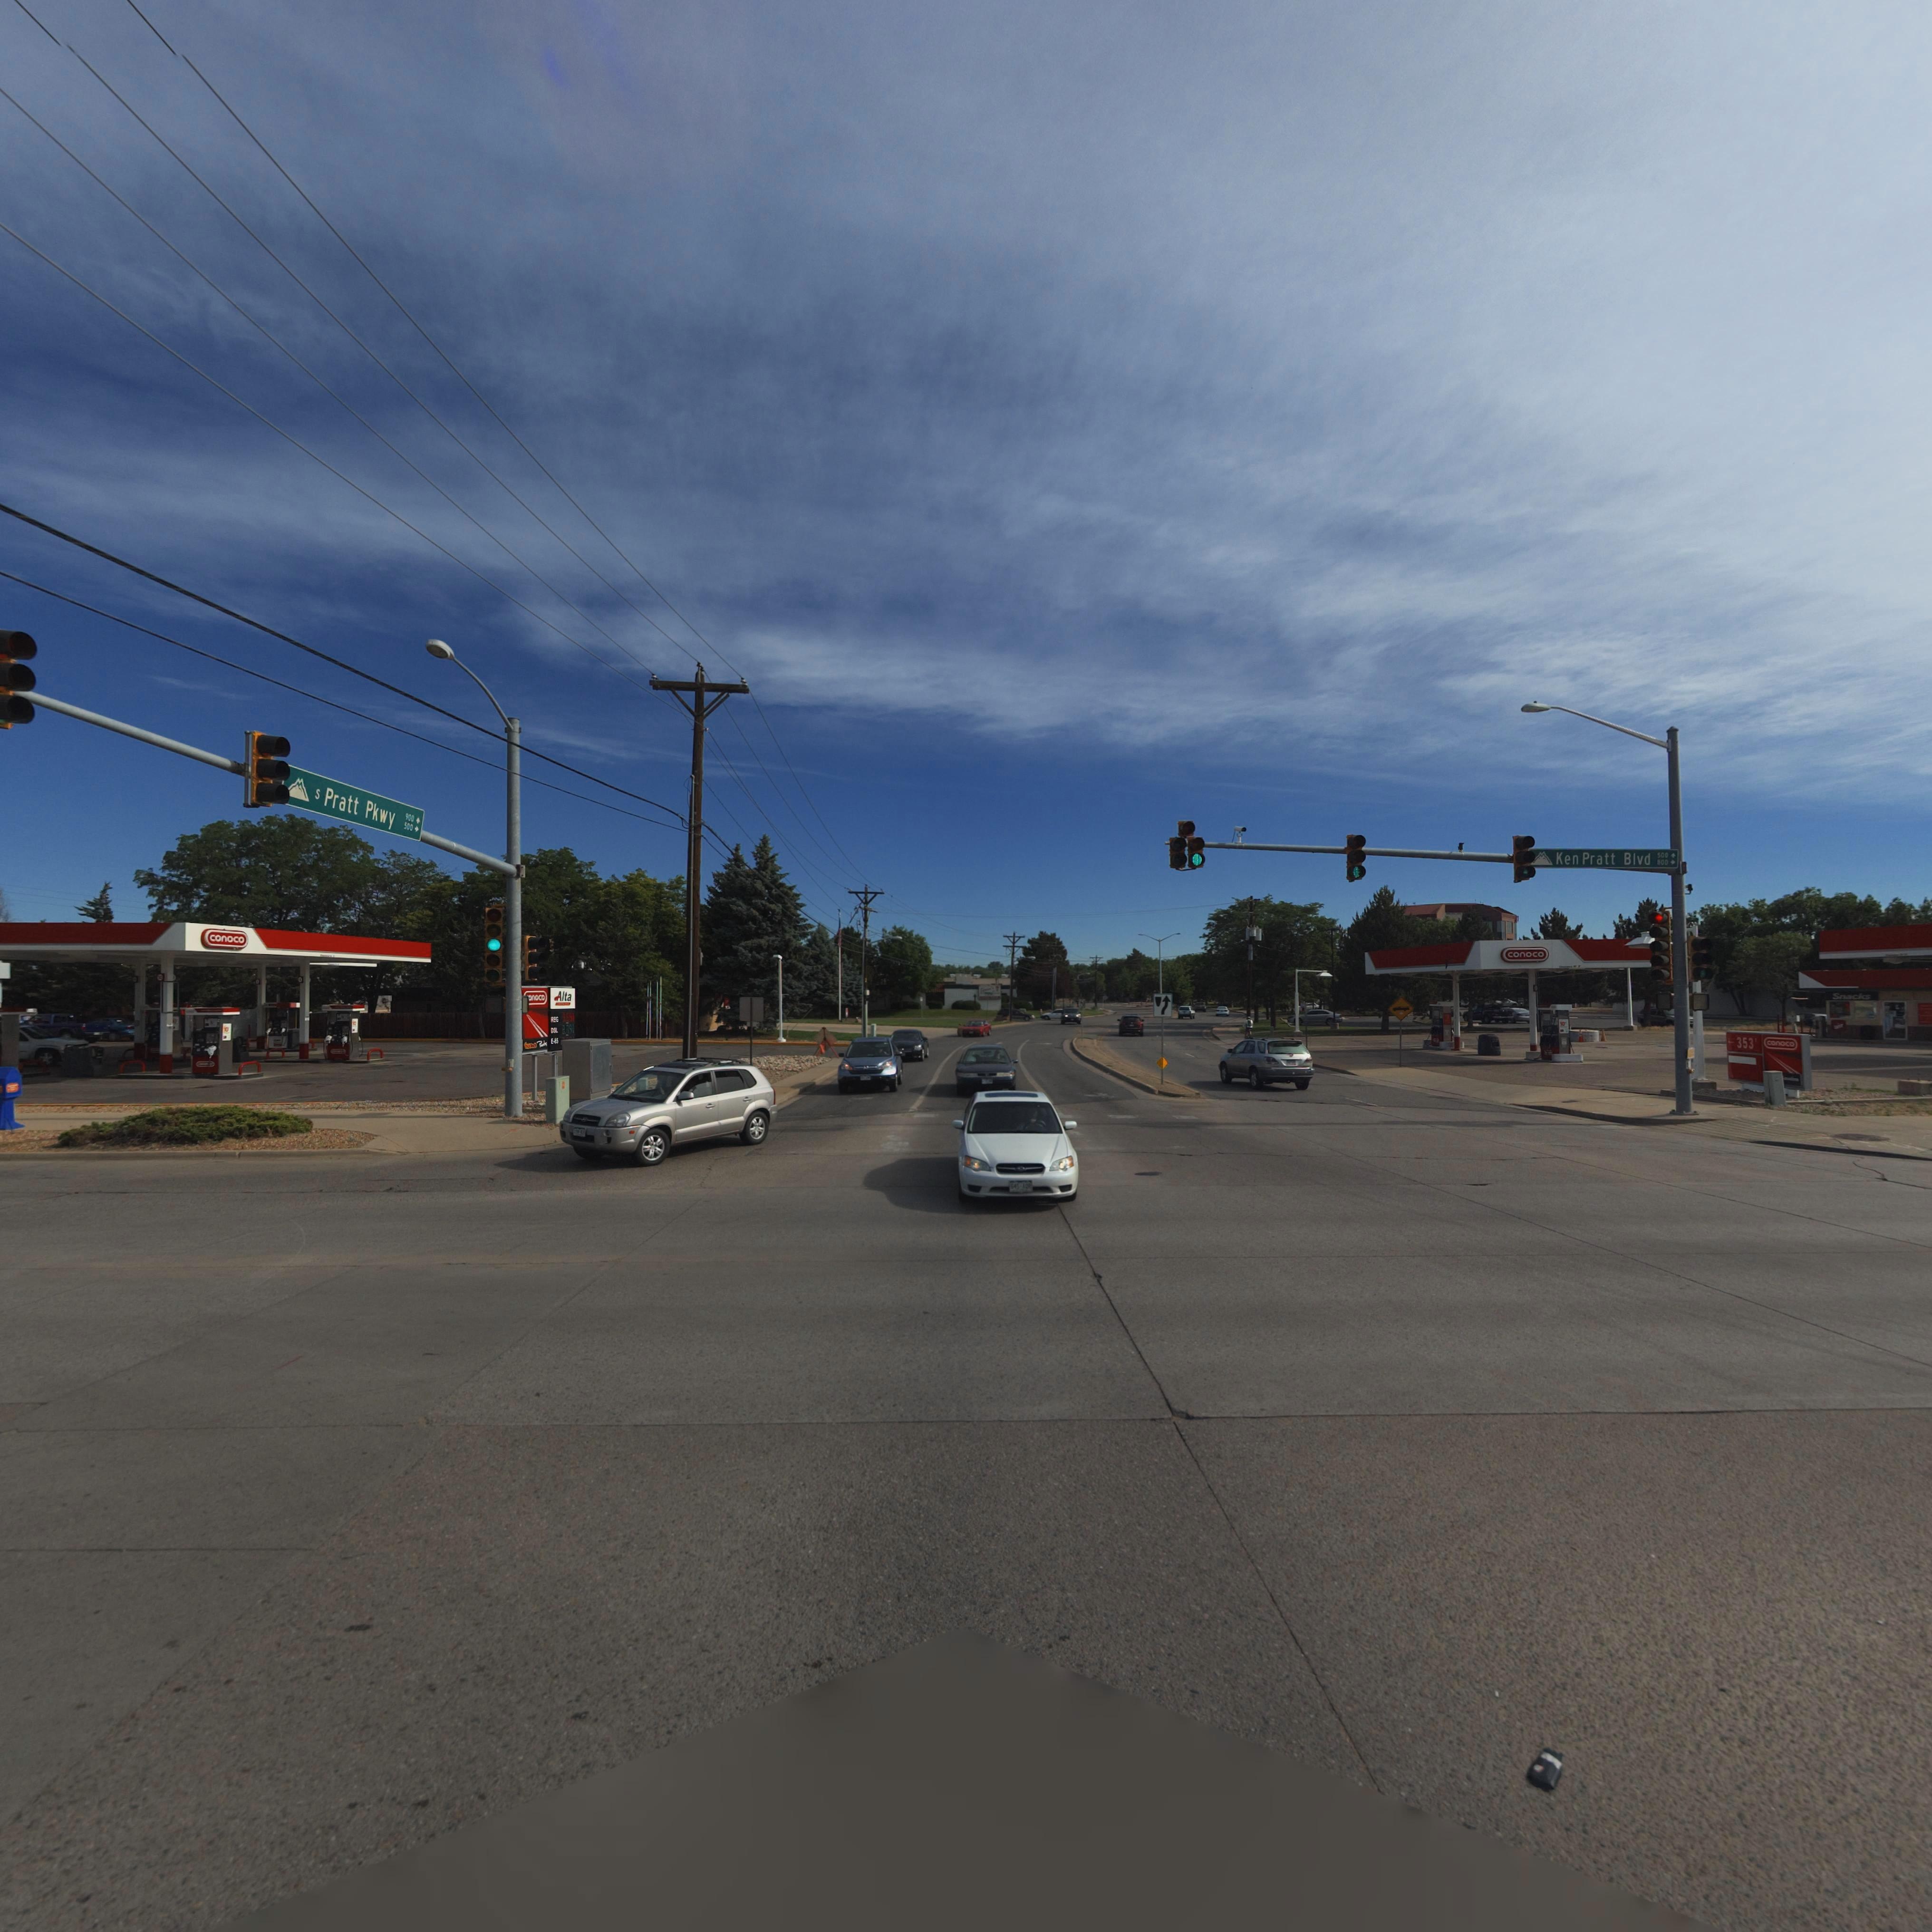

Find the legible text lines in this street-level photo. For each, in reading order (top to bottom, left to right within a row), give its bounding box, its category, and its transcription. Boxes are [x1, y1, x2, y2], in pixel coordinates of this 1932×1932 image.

[314, 786, 396, 831] StreetName: S Pratt Pkwy
[404, 812, 415, 822] StreetNumberRange: 900
[404, 821, 419, 832] StreetNumberRange: 500->
[1555, 851, 1651, 866] StreetName: Ken Pratt Blvd
[1657, 852, 1669, 858] StreetNumberRange: 500
[1656, 859, 1676, 866] StreetNumberRange: 800->
[209, 933, 245, 944] BusinessName: conoco
[1507, 951, 1545, 957] BusinessName: conoco
[528, 994, 545, 1001] BusinessName: onoco
[556, 991, 571, 1001] BusinessName: Alta
[1766, 1040, 1795, 1047] BusinessName: conoco